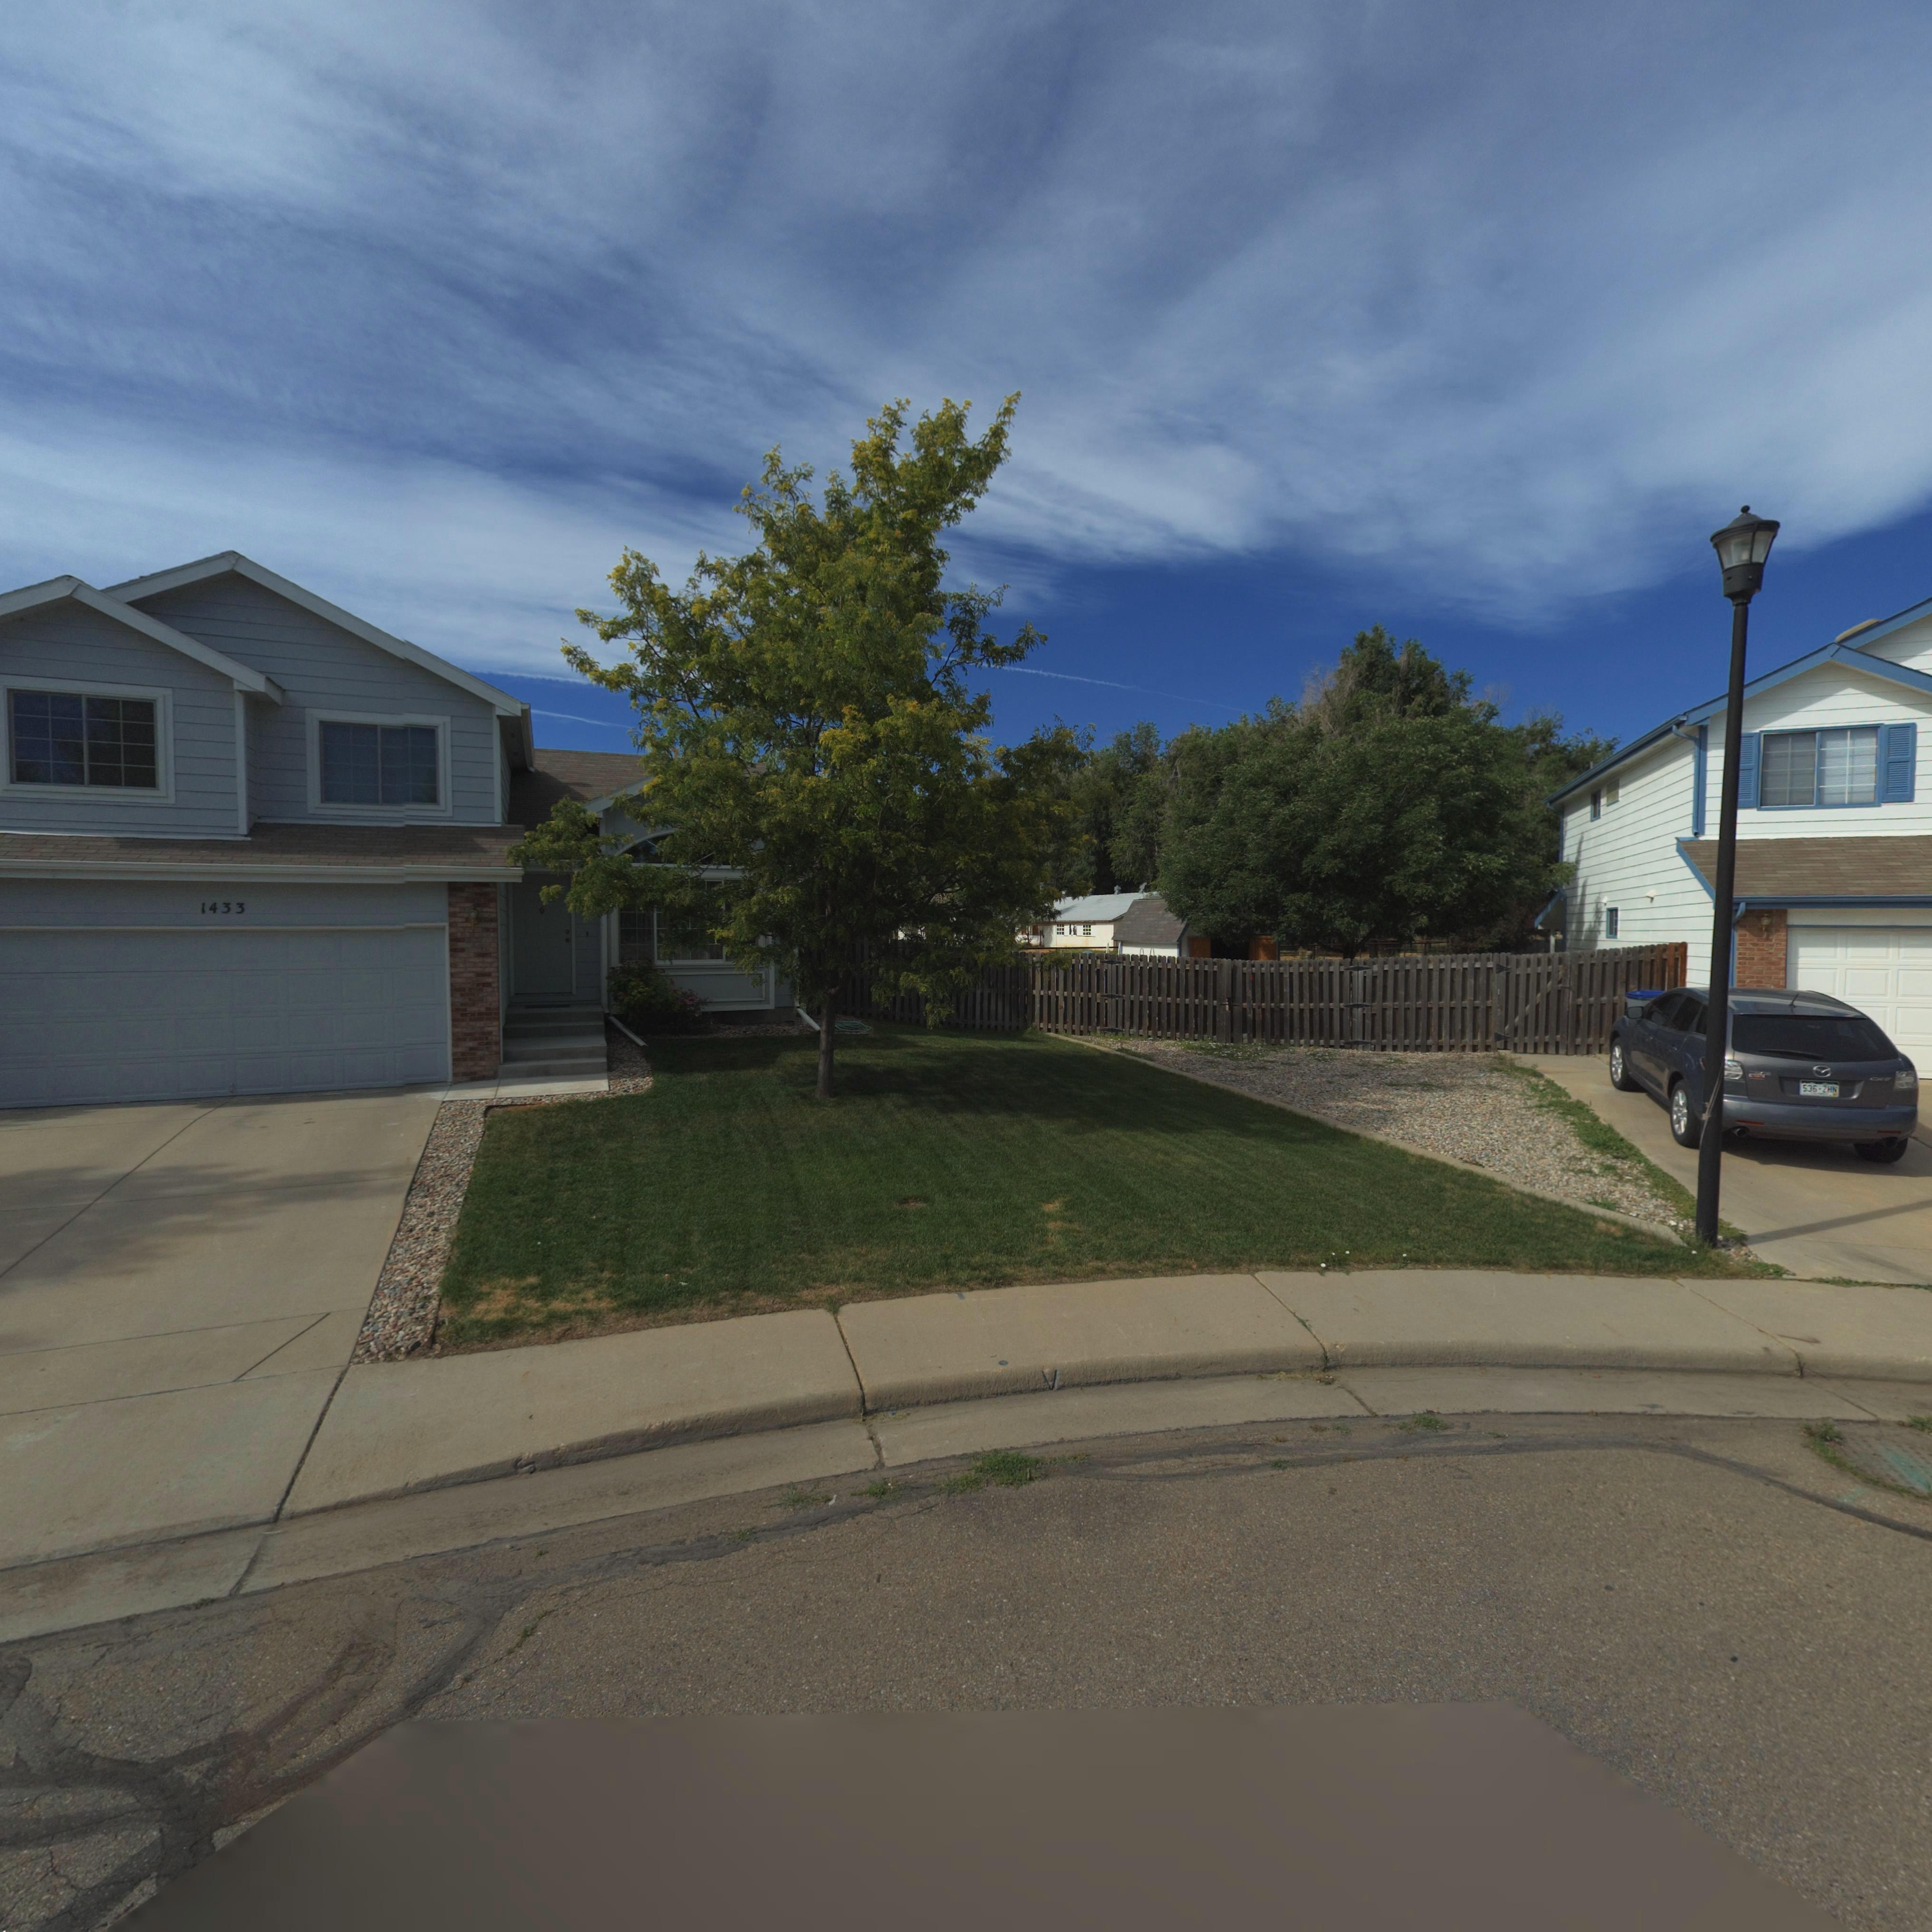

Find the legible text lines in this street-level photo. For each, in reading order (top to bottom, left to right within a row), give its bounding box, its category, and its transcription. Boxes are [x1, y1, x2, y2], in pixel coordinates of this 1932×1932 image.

[201, 901, 245, 914] StreetNumber: 1433